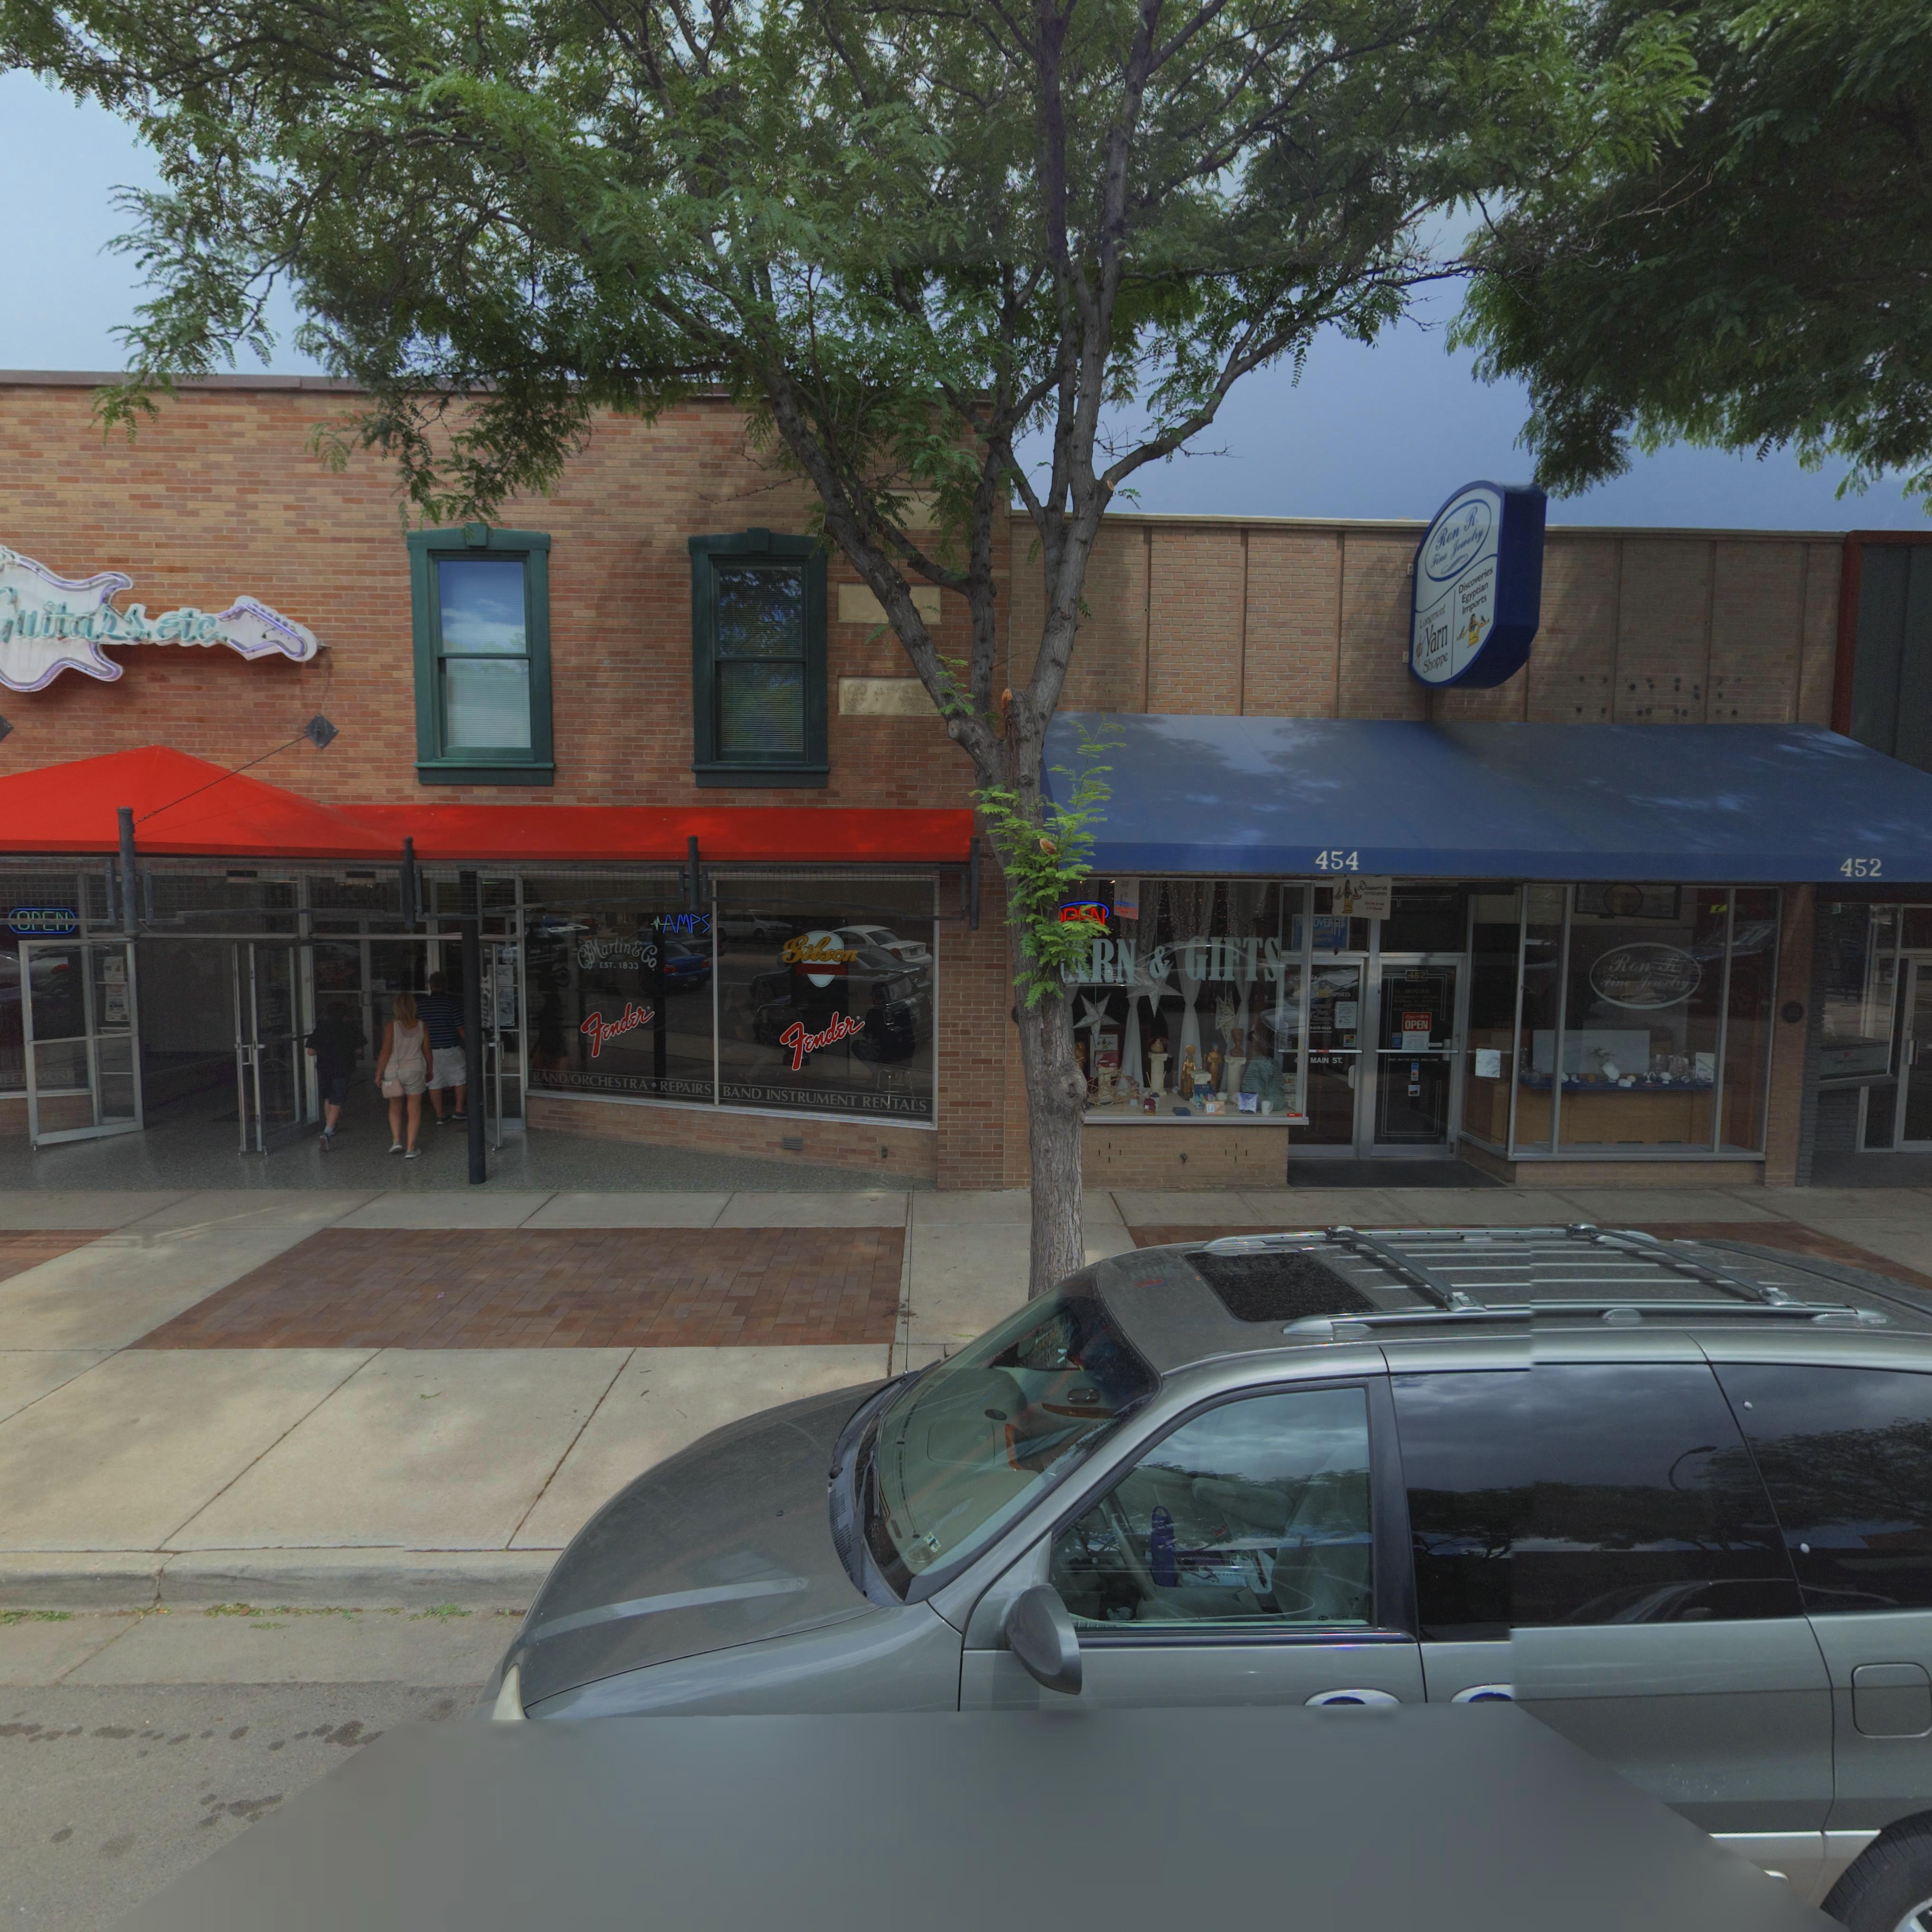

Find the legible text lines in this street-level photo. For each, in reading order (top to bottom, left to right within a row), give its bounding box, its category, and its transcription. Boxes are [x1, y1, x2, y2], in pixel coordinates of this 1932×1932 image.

[1435, 505, 1478, 551] BusinessName: Ron R.
[1430, 526, 1484, 569] BusinessName: Fine Jewelry
[1458, 566, 1494, 594] BusinessName: Discoveries
[1461, 581, 1489, 604] BusinessName: Egyptian
[1462, 594, 1488, 615] BusinessName: Imports
[3, 585, 226, 645] BusinessName: *uitars, Etc
[1419, 603, 1445, 629] BusinessName: Longmont
[1425, 623, 1448, 657] BusinessName: Yarn
[1422, 652, 1448, 673] BusinessName: Shoppe
[1314, 850, 1359, 871] StreetNumber: 454
[1838, 857, 1882, 877] StreetNumber: 452
[1357, 879, 1387, 890] BusinessName: D*scov**ies
[1295, 917, 1345, 927] BusinessName: D***OVE***S
[1312, 936, 1333, 944] BusinessName: **ports
[1608, 952, 1681, 972] BusinessName: Ron R
[1294, 970, 1351, 981] BusinessName: *isc*******
[1408, 971, 1426, 979] StreetNumber: 452
[1600, 974, 1690, 992] BusinessName: Fine Jewelry
[1328, 991, 1351, 997] BusinessName: IMPORTS
[1308, 1002, 1332, 1009] BusinessName: *****on*
[1312, 1014, 1332, 1023] BusinessName: Shopp*
[1316, 1009, 1328, 1015] BusinessName: Y***
[1293, 1057, 1303, 1064] StreetNumber: 4**
[1310, 1057, 1343, 1063] StreetName: MAIN ST.